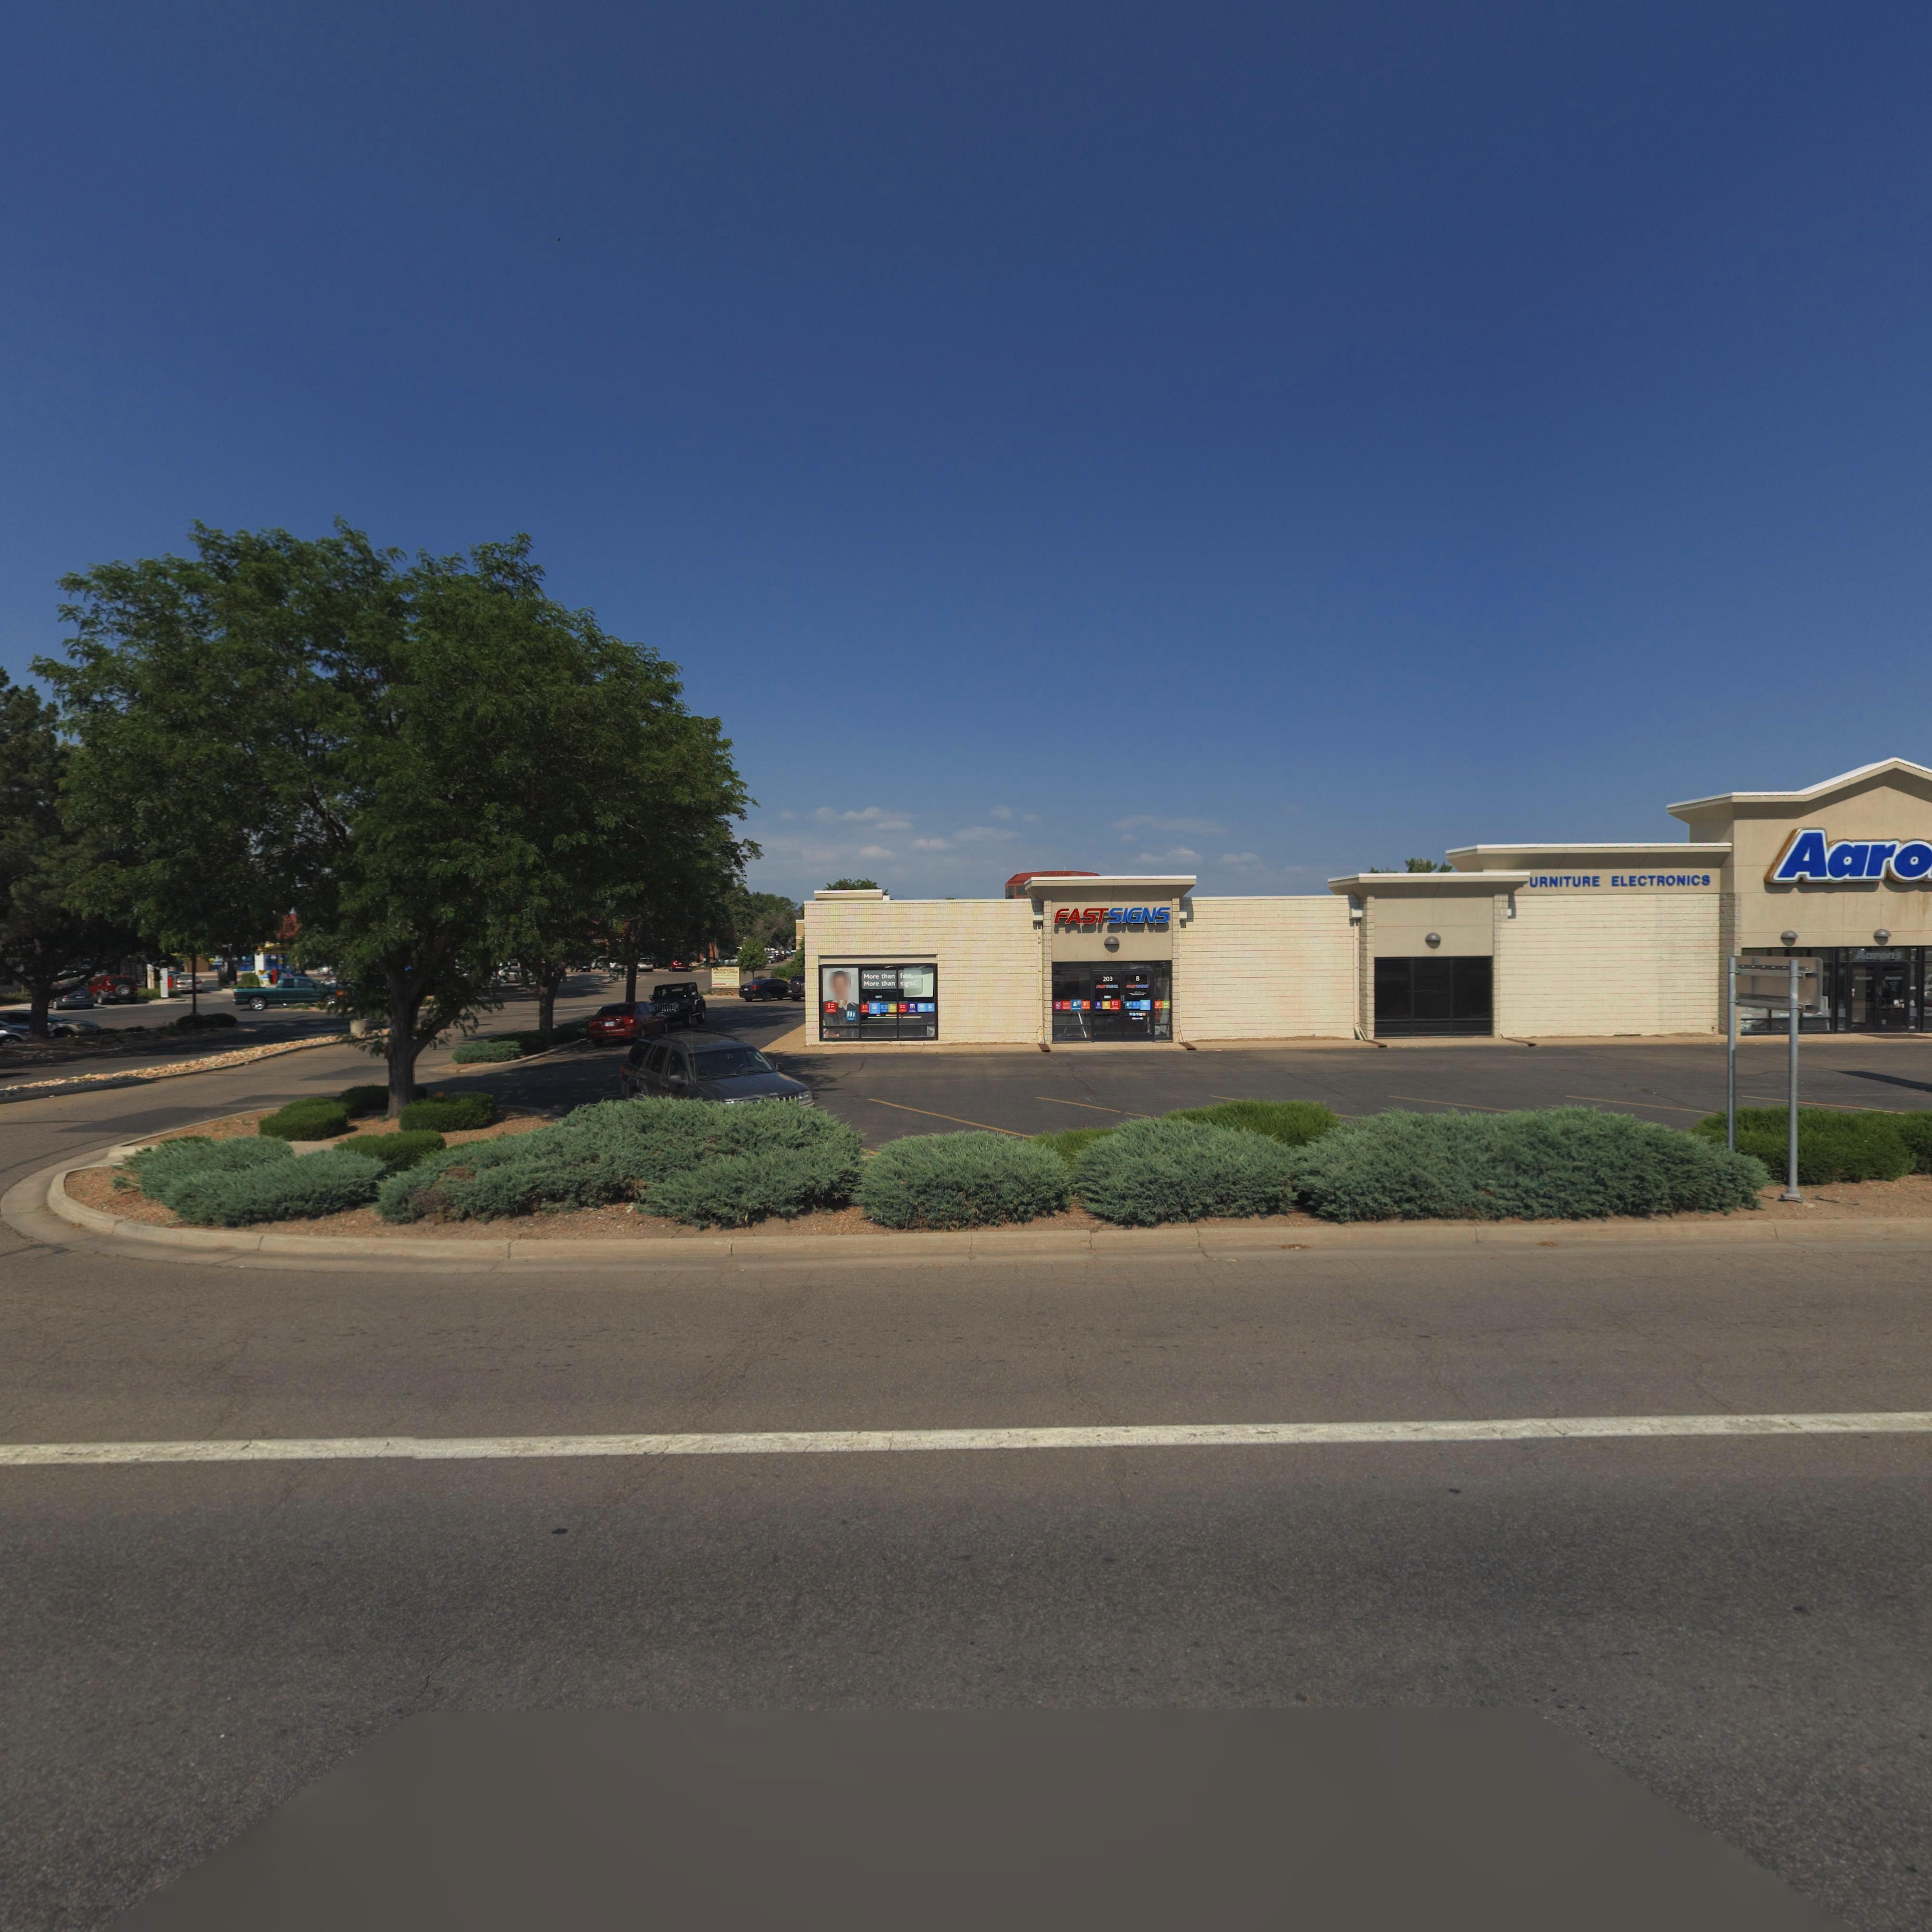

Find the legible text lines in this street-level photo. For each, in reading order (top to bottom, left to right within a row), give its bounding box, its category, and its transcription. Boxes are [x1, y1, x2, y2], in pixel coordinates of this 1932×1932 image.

[1769, 828, 1901, 885] BusinessName: Aar
[1053, 906, 1171, 924] BusinessName: FASTSIGNS
[1854, 948, 1903, 960] BusinessName: Aaron's
[1101, 976, 1113, 982] StreetNumber: 203
[1135, 975, 1140, 981] StreetNumber: B
[1095, 984, 1118, 989] BusinessName: F*STS**S
[1125, 984, 1149, 988] None: F*ST***S